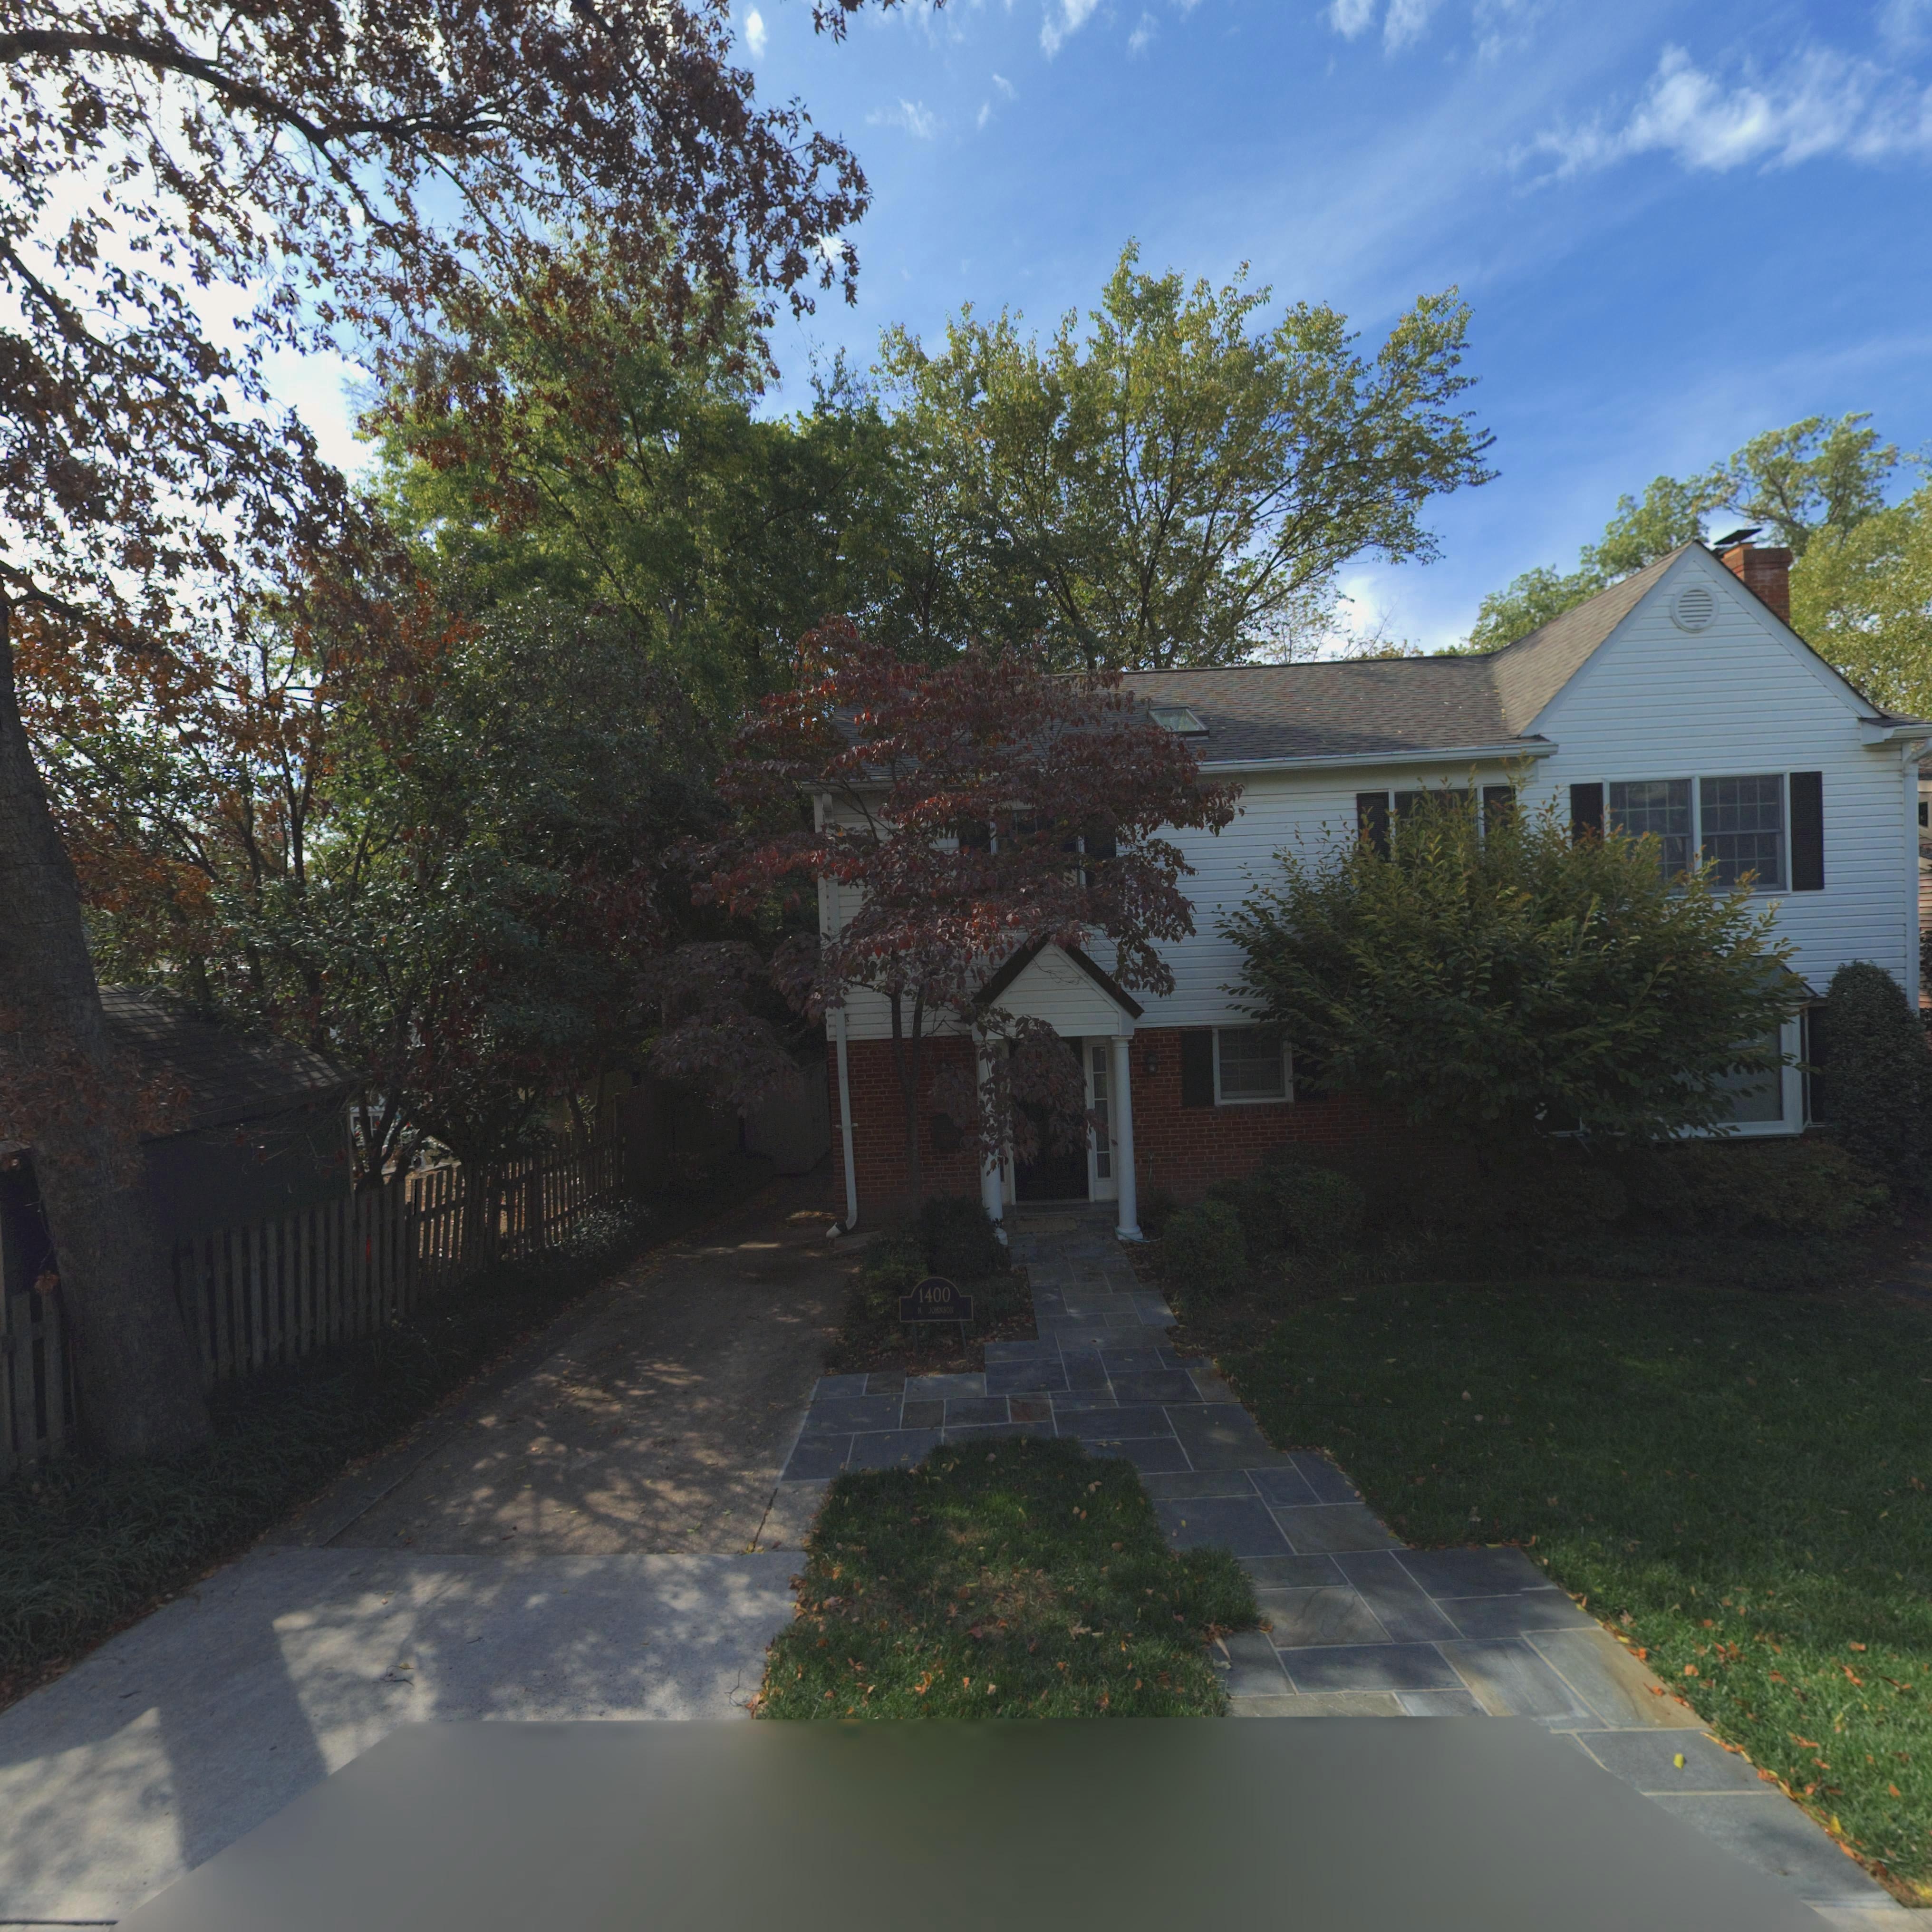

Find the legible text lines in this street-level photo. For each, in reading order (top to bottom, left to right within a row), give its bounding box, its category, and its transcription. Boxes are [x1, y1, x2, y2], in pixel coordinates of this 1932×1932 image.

[917, 1285, 952, 1304] StreetNumber: 1400
[916, 1304, 955, 1315] StreetName: N JOHNSON